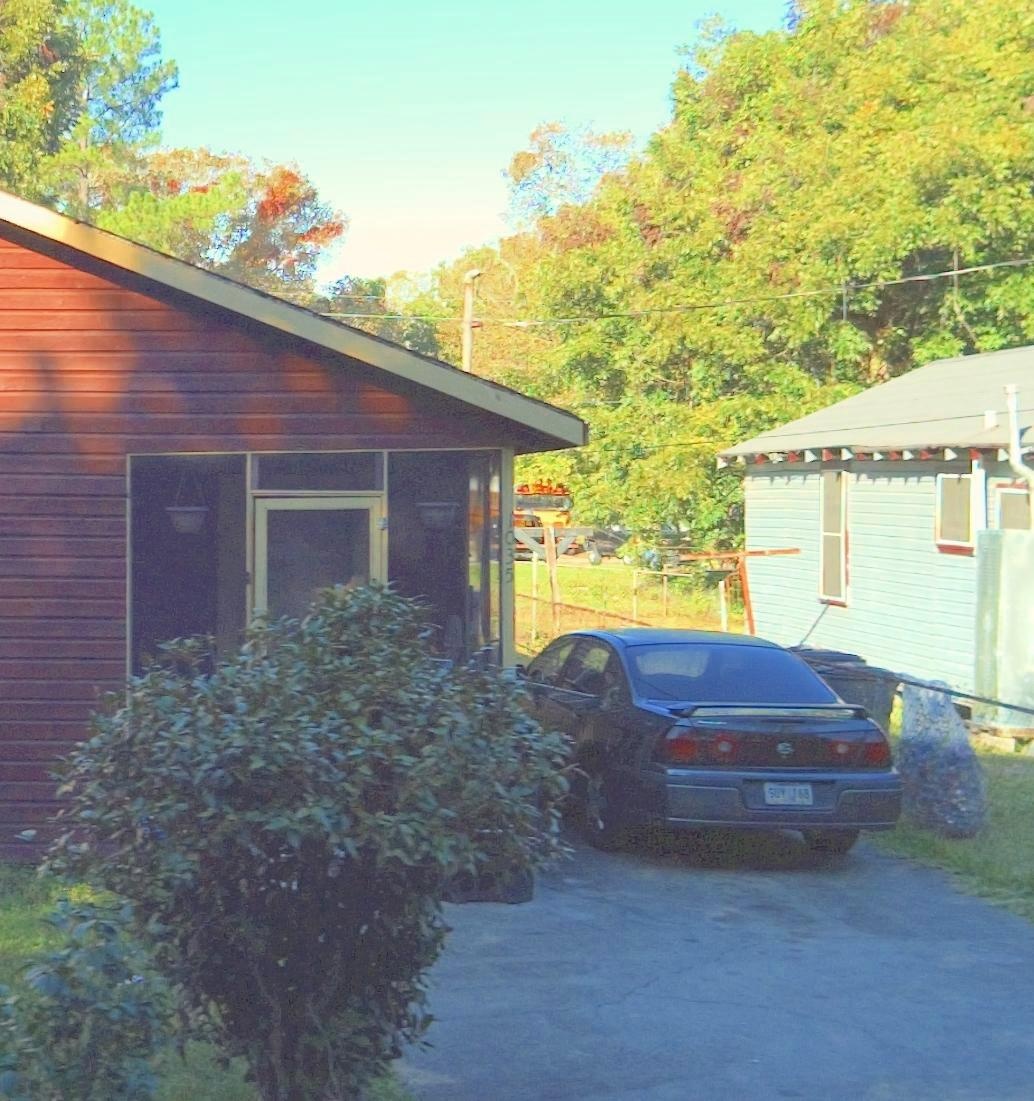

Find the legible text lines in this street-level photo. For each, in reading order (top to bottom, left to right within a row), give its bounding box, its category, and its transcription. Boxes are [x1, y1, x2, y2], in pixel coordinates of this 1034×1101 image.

[503, 511, 516, 585] StreetNumber: 1035